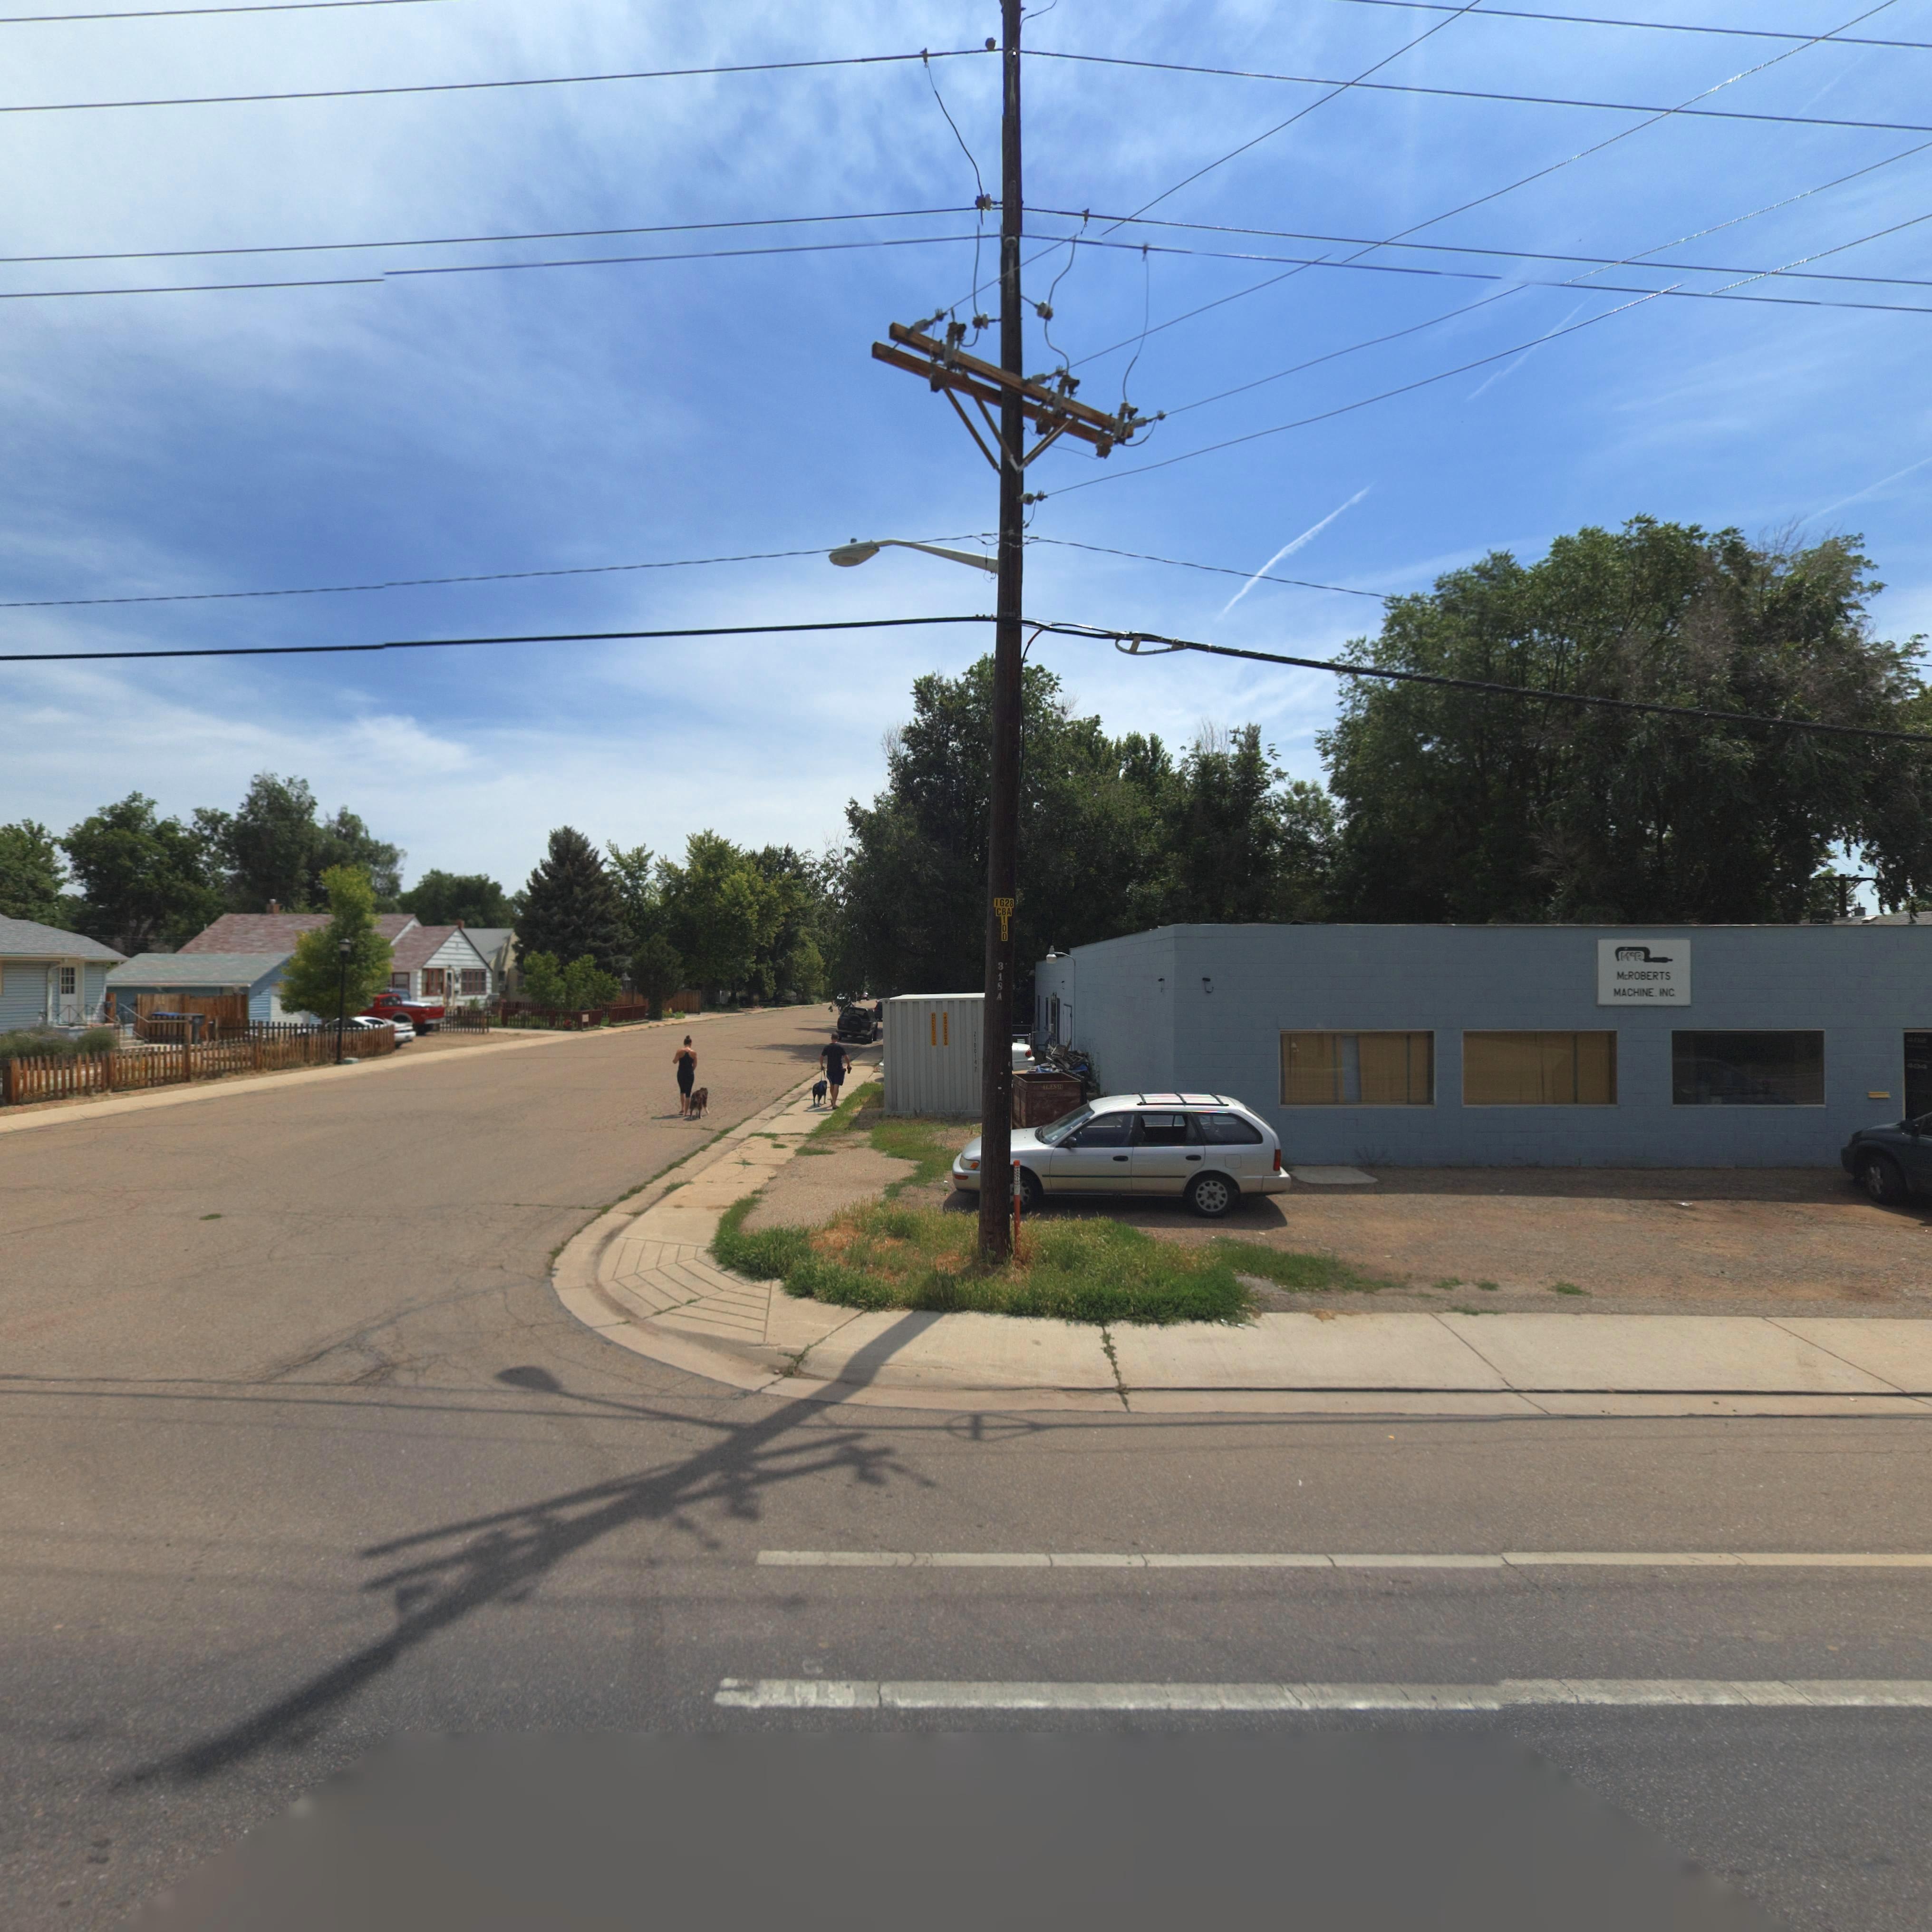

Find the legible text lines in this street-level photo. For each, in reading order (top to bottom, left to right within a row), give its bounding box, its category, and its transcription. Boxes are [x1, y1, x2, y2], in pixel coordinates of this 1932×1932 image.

[1620, 951, 1643, 962] BusinessName: M*R
[1616, 970, 1672, 980] BusinessName: McROBERTS
[1613, 986, 1677, 997] BusinessName: MACHINE INC